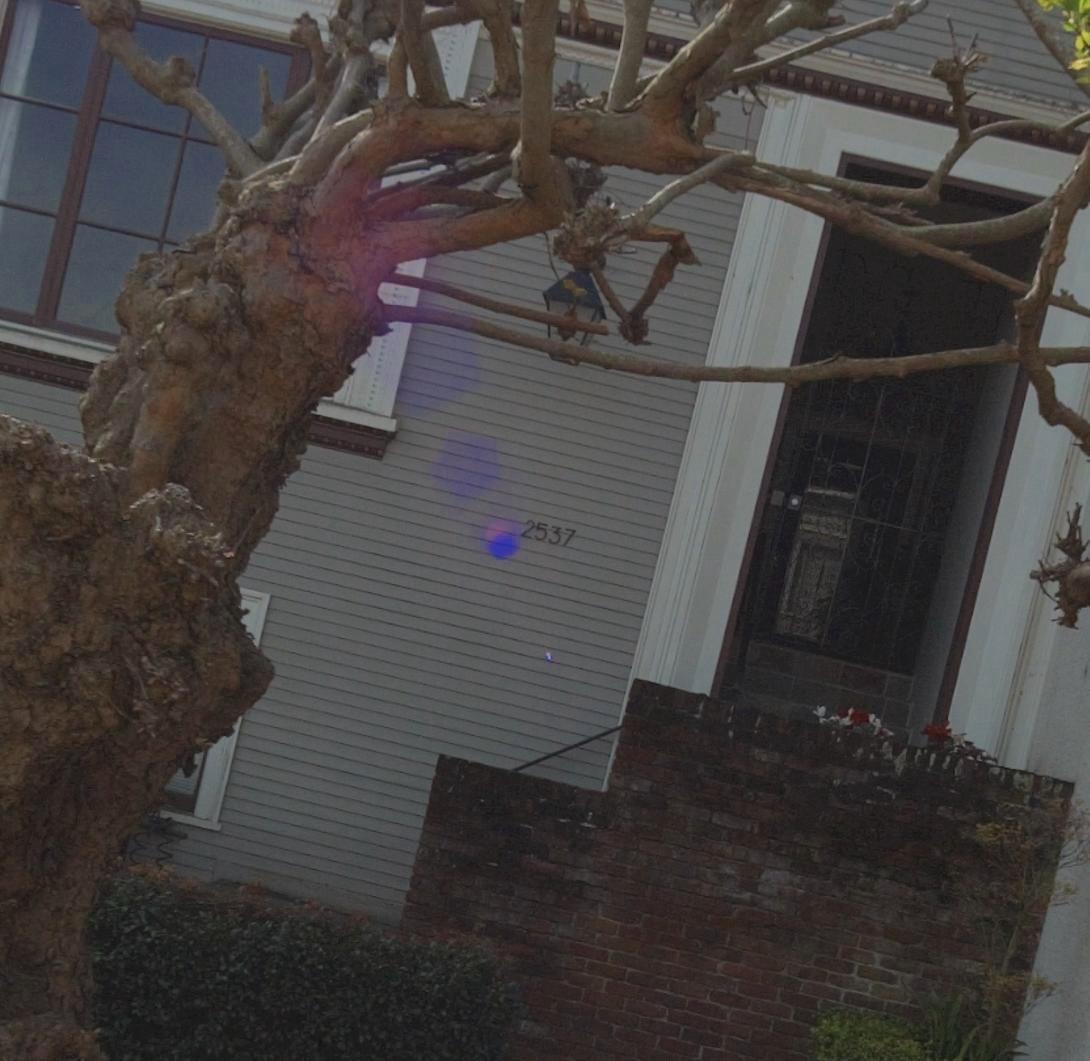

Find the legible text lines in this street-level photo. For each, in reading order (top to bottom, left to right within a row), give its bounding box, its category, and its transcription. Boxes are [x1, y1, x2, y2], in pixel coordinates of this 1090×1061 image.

[516, 517, 579, 550] StreetNumber: 2537